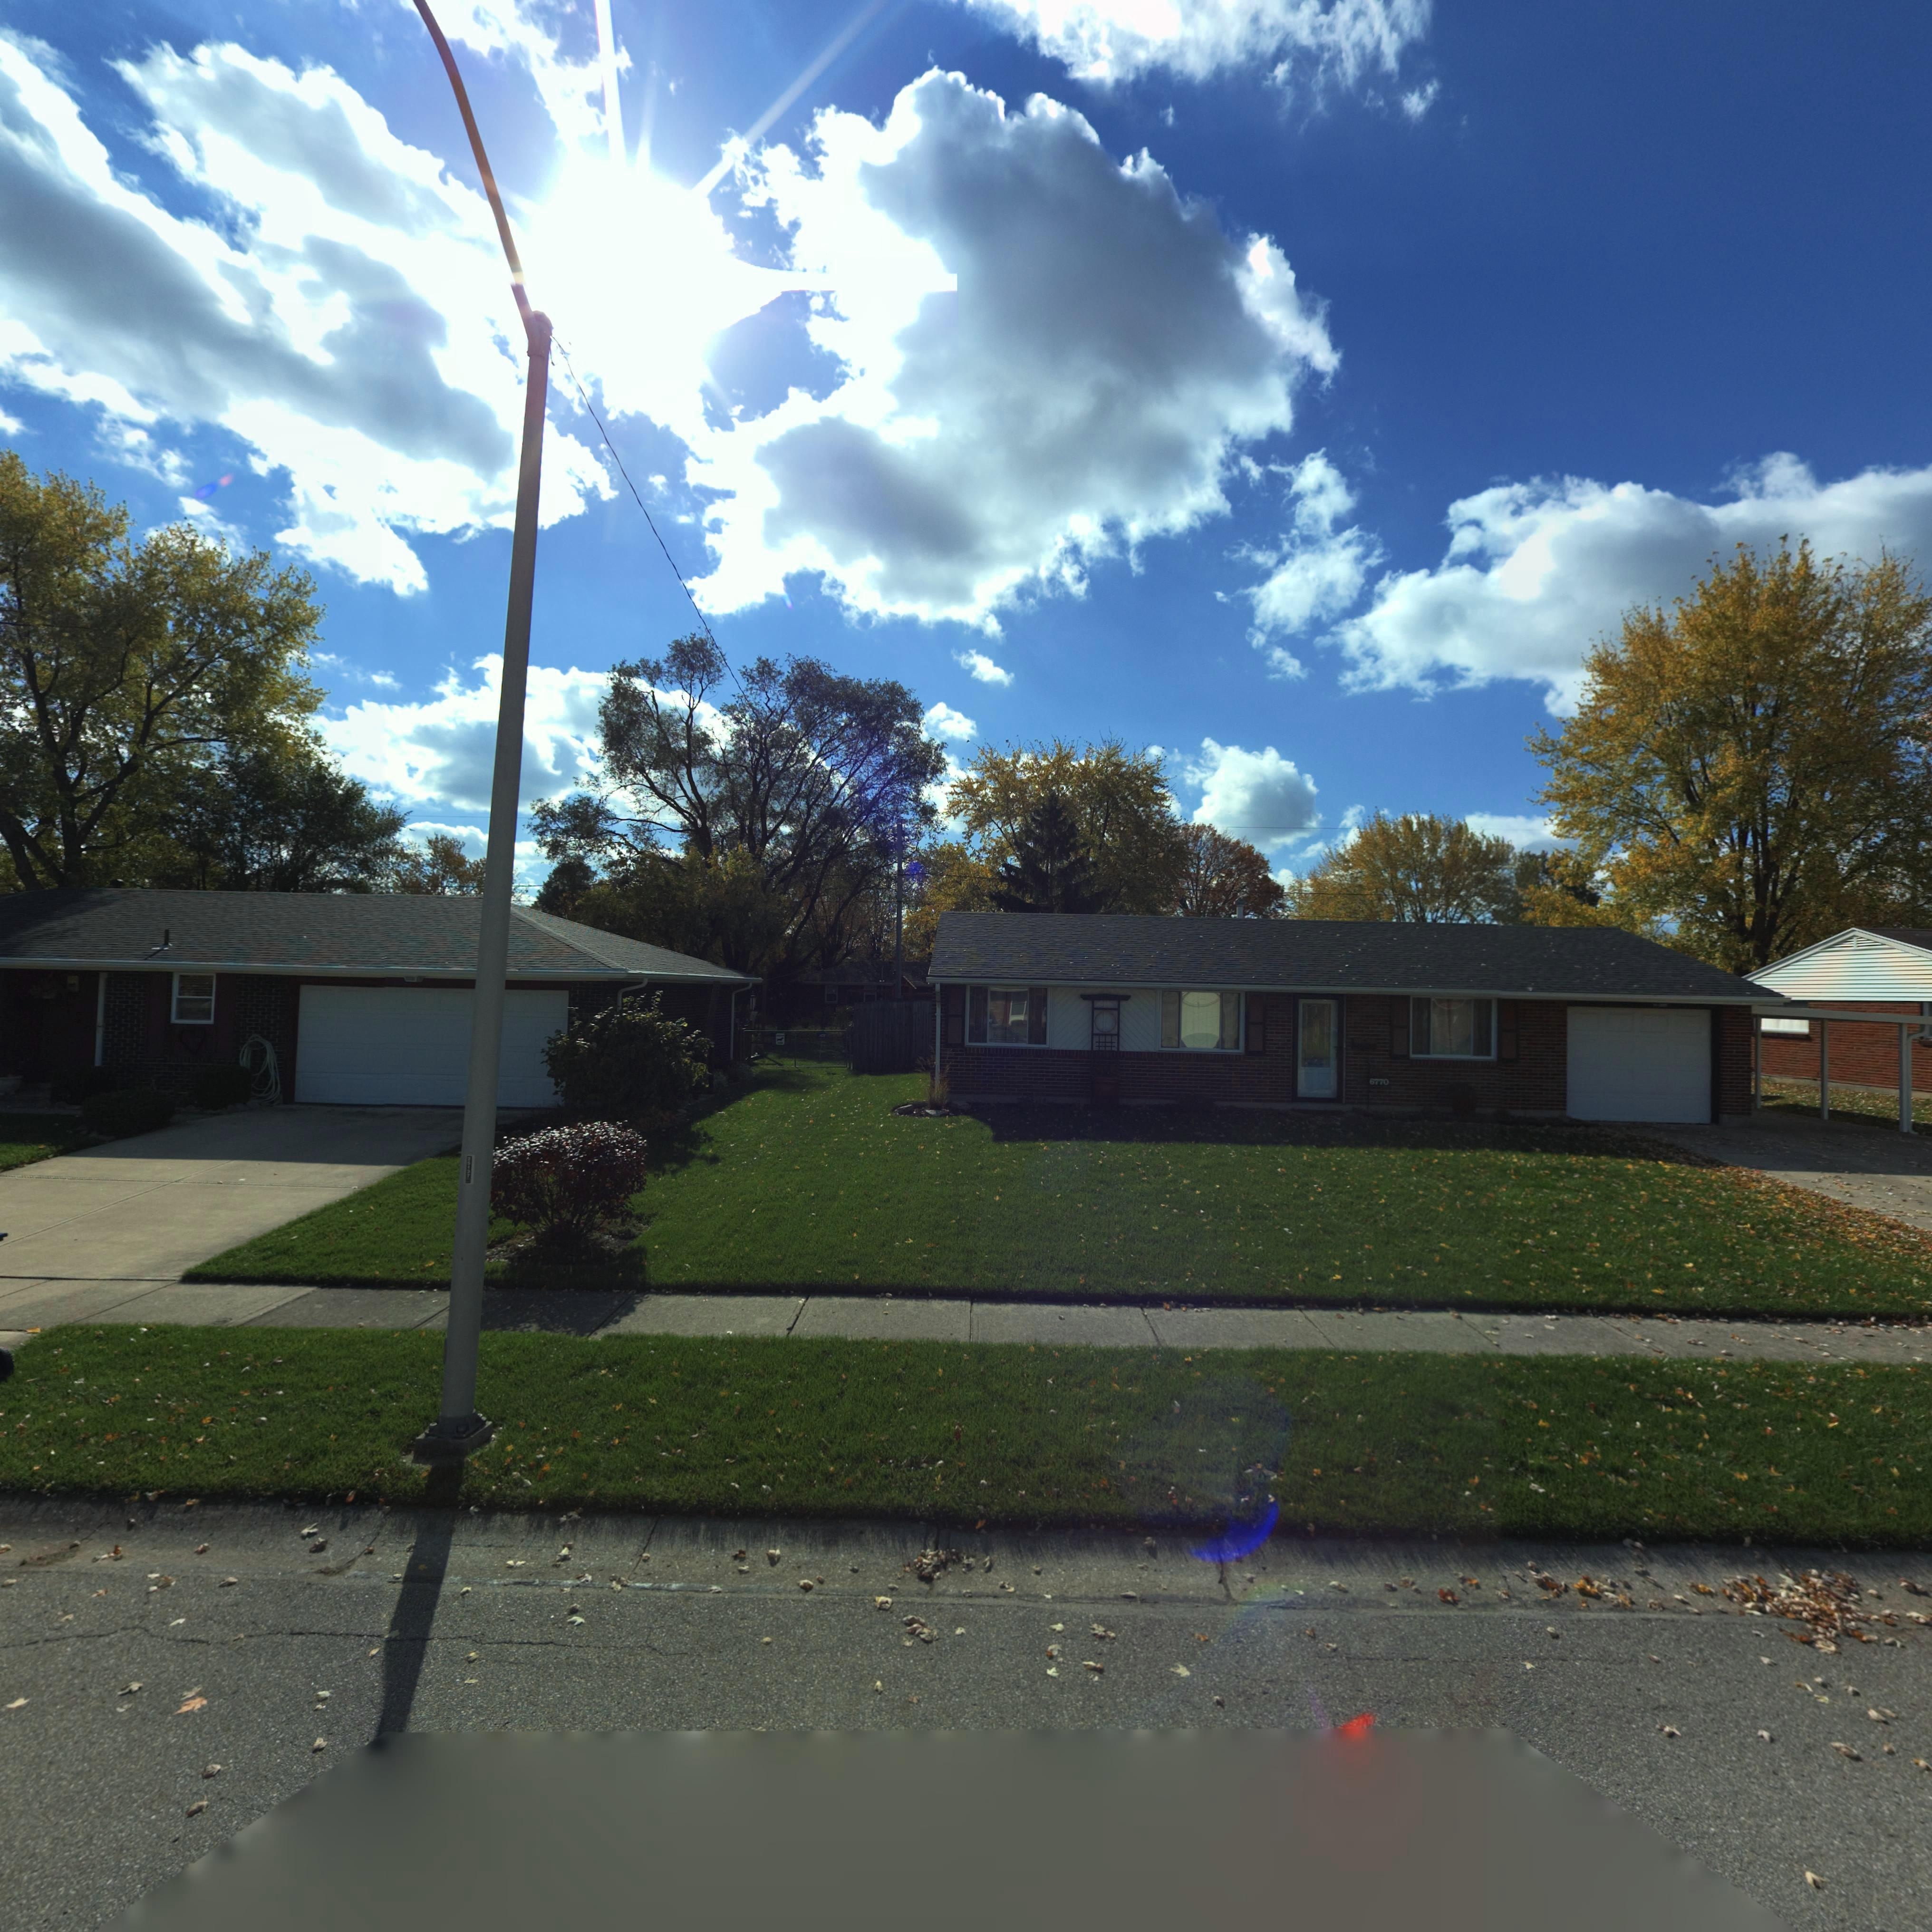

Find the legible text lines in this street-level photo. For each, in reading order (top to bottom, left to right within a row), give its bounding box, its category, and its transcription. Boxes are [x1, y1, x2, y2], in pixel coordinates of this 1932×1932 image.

[1369, 1078, 1389, 1085] StreetNumber: 6770